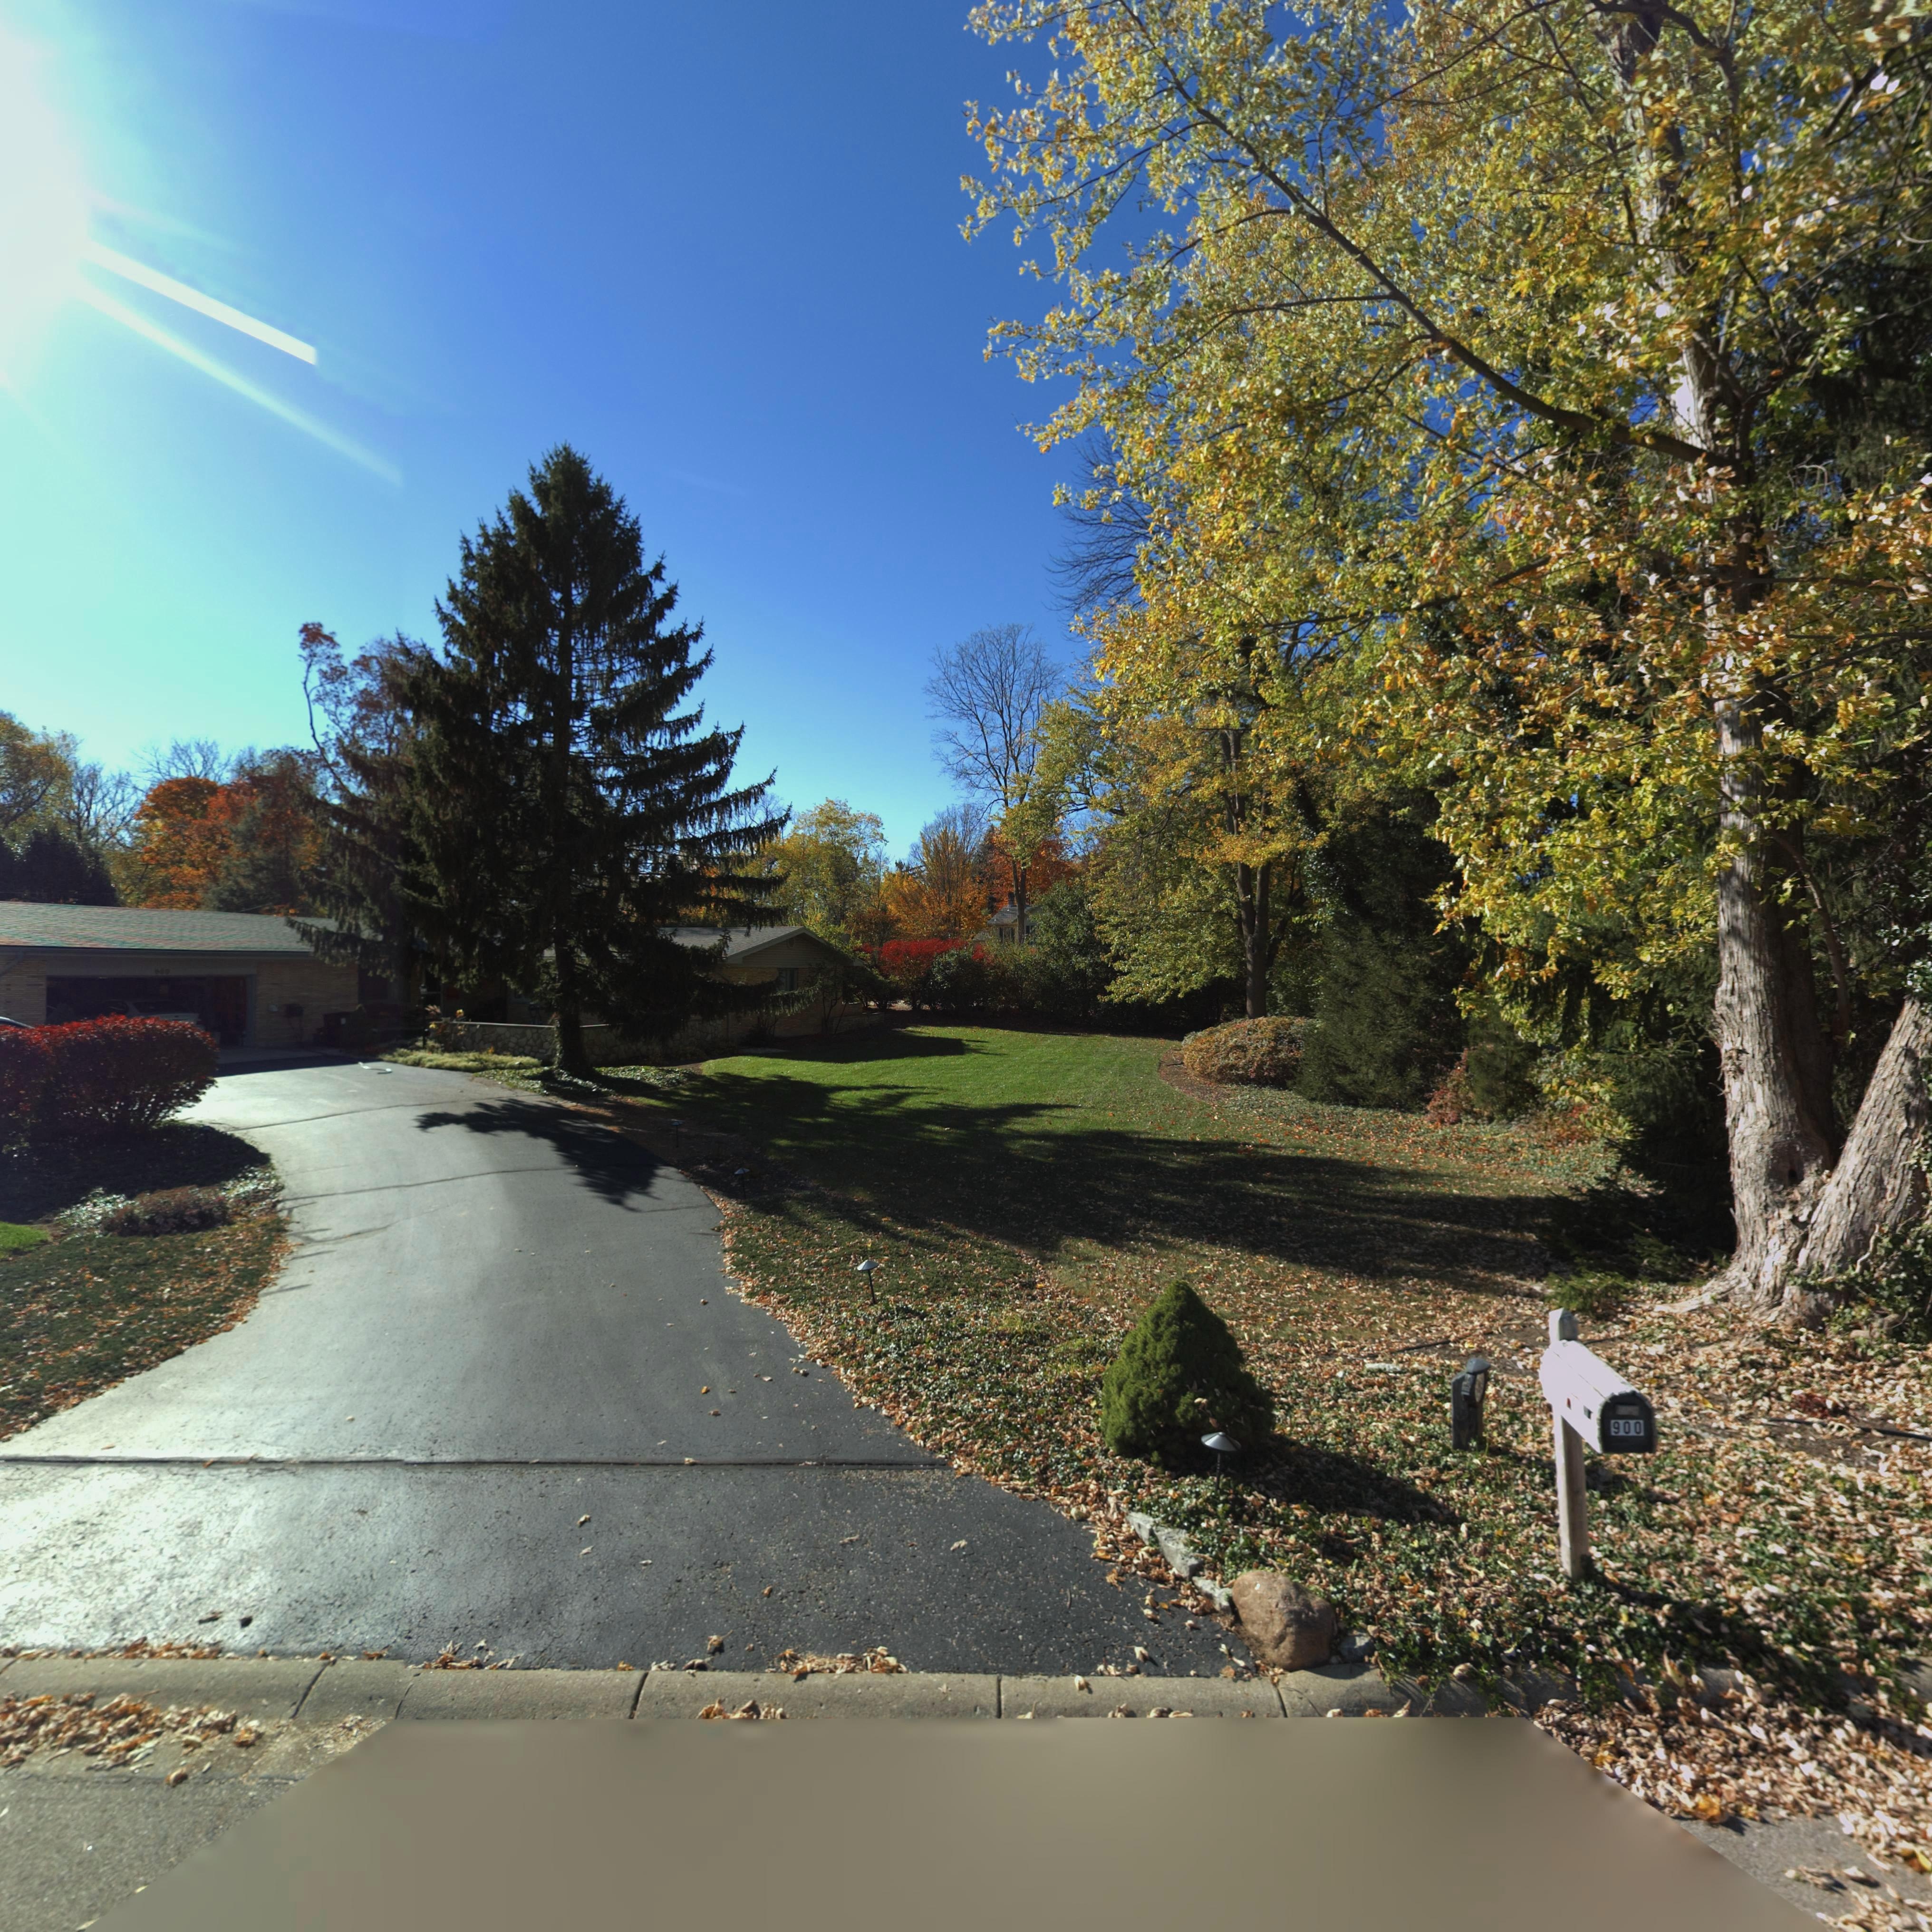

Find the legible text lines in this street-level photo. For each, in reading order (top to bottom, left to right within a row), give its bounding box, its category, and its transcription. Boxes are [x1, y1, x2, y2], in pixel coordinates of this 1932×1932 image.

[154, 968, 170, 975] StreetNumber: 900
[1612, 1420, 1642, 1435] StreetNumber: 900